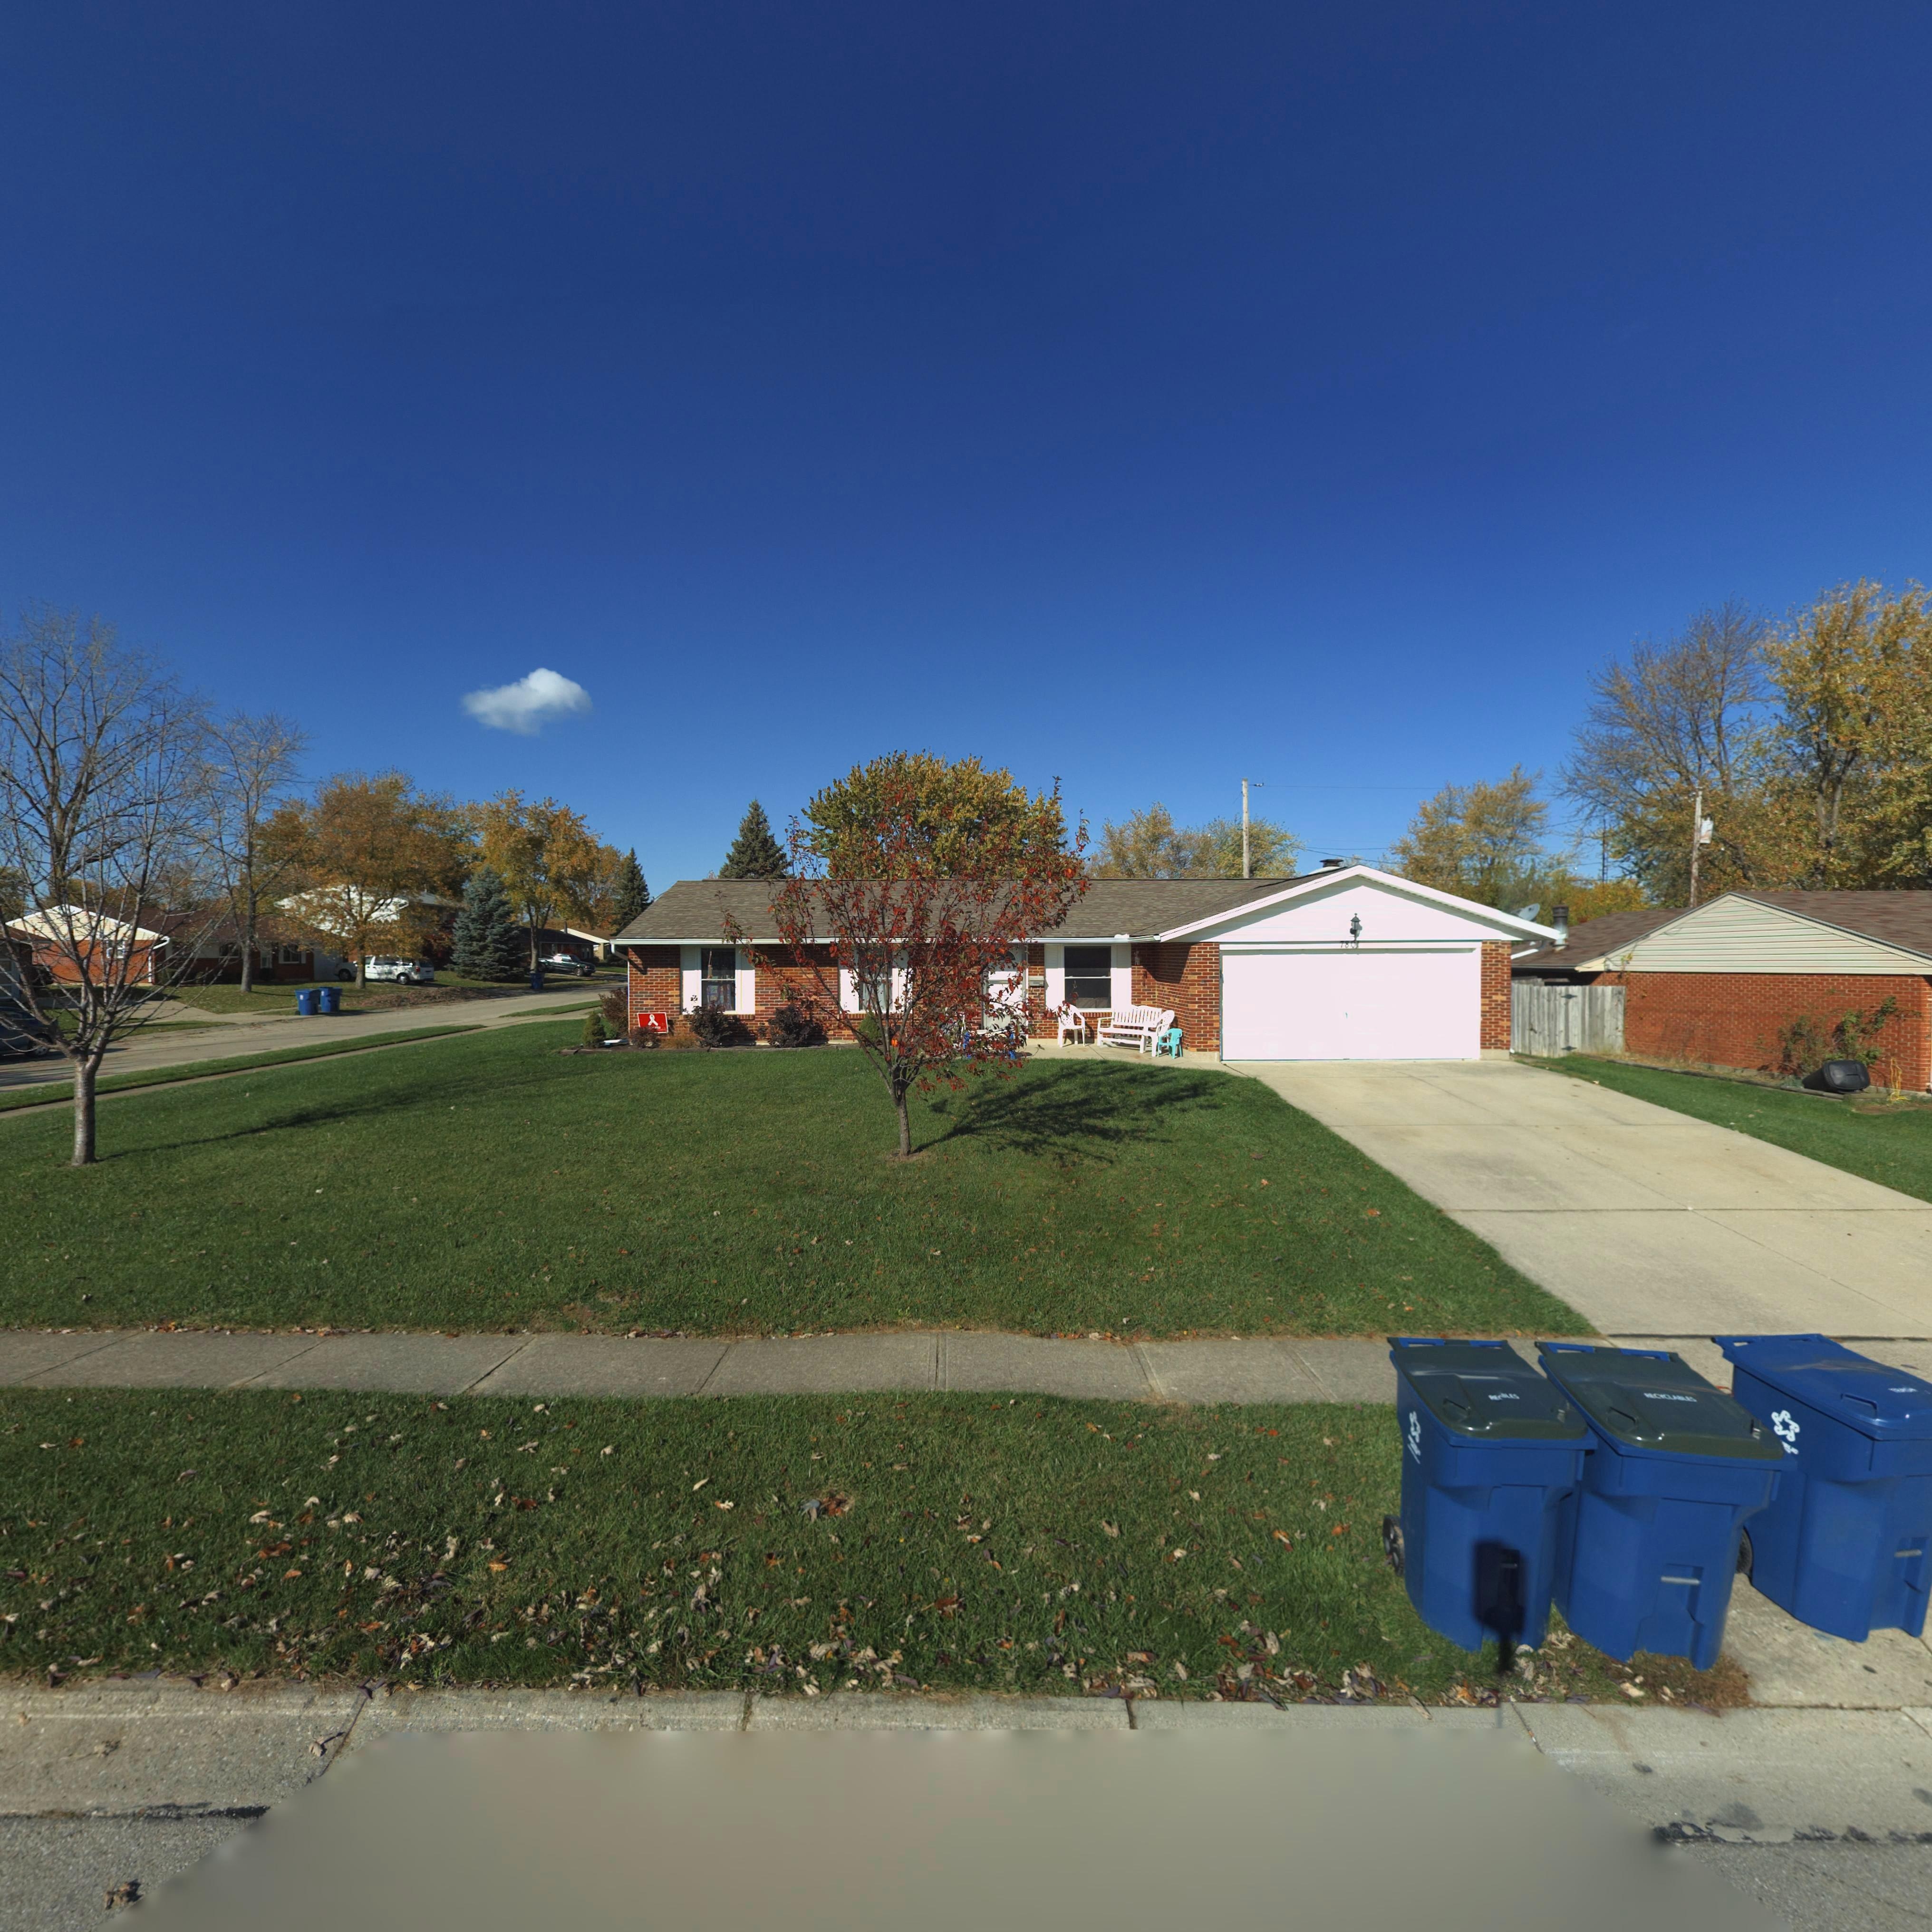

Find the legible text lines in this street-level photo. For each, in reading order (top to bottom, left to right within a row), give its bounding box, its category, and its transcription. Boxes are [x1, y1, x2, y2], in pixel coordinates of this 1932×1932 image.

[1338, 939, 1360, 949] StreetNumber: 780*